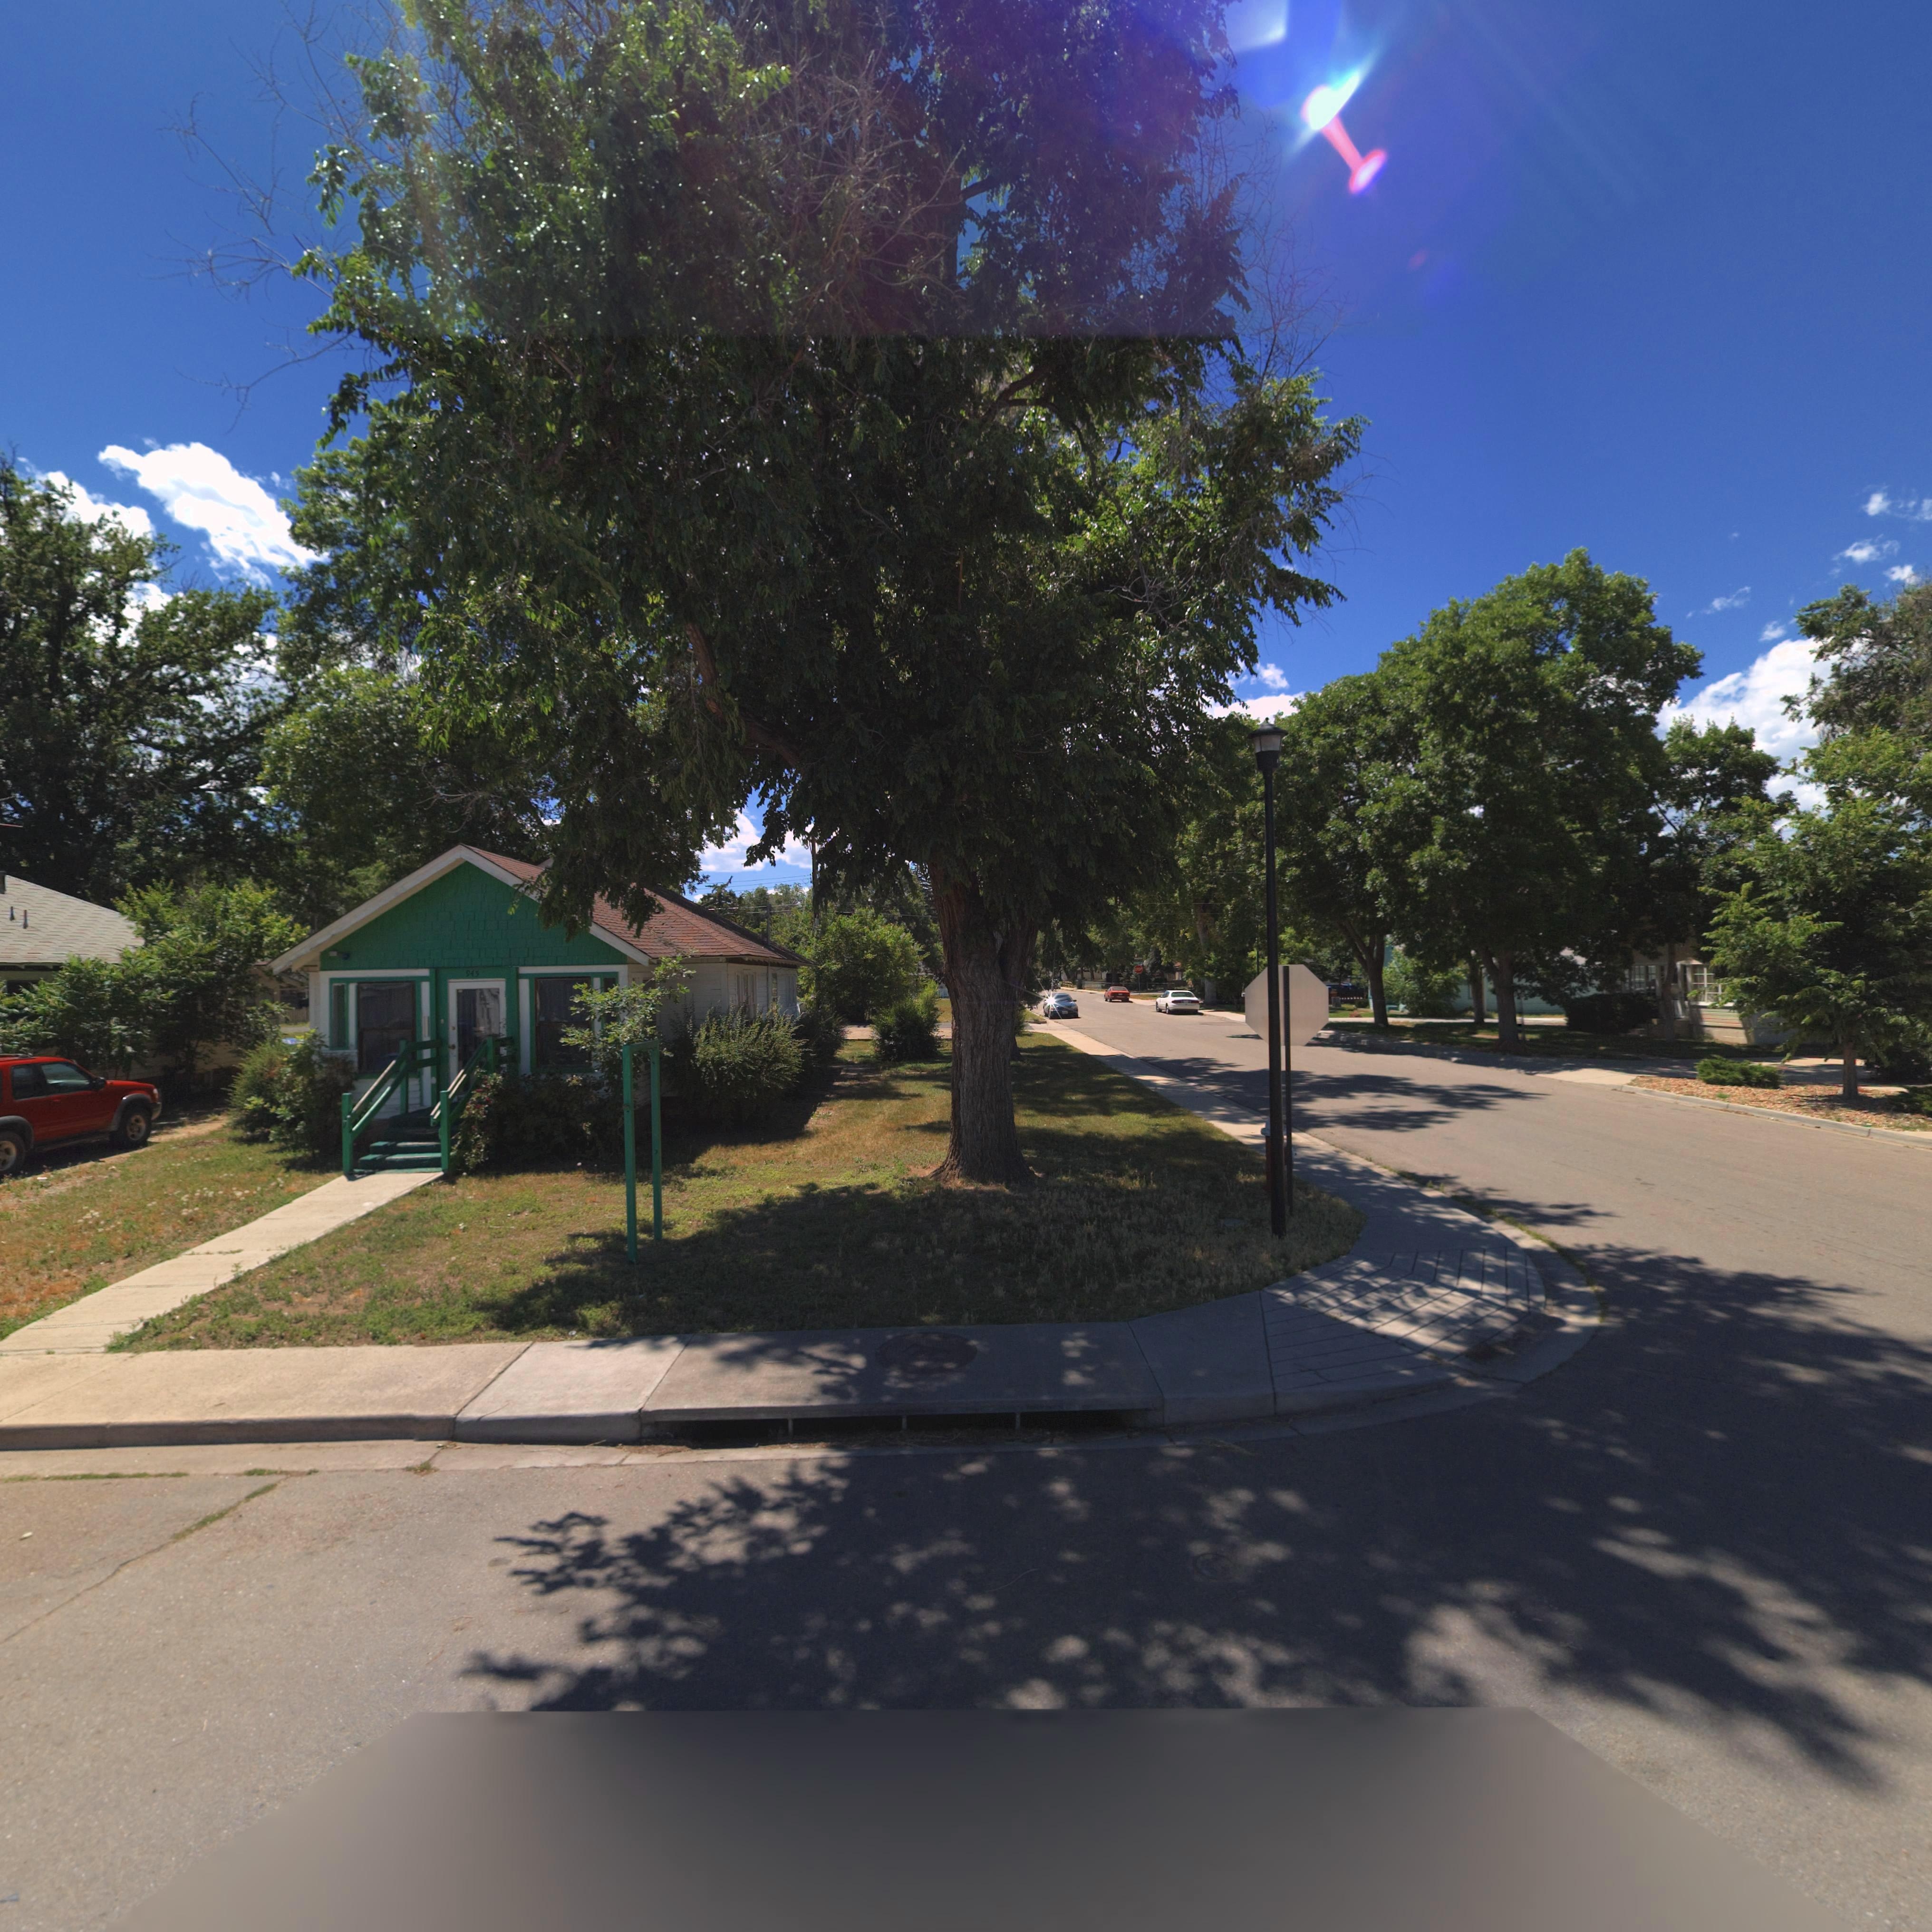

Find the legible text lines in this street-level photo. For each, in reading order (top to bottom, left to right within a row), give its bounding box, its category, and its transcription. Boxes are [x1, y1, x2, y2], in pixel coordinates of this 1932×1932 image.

[465, 969, 480, 977] StreetNumber: 945